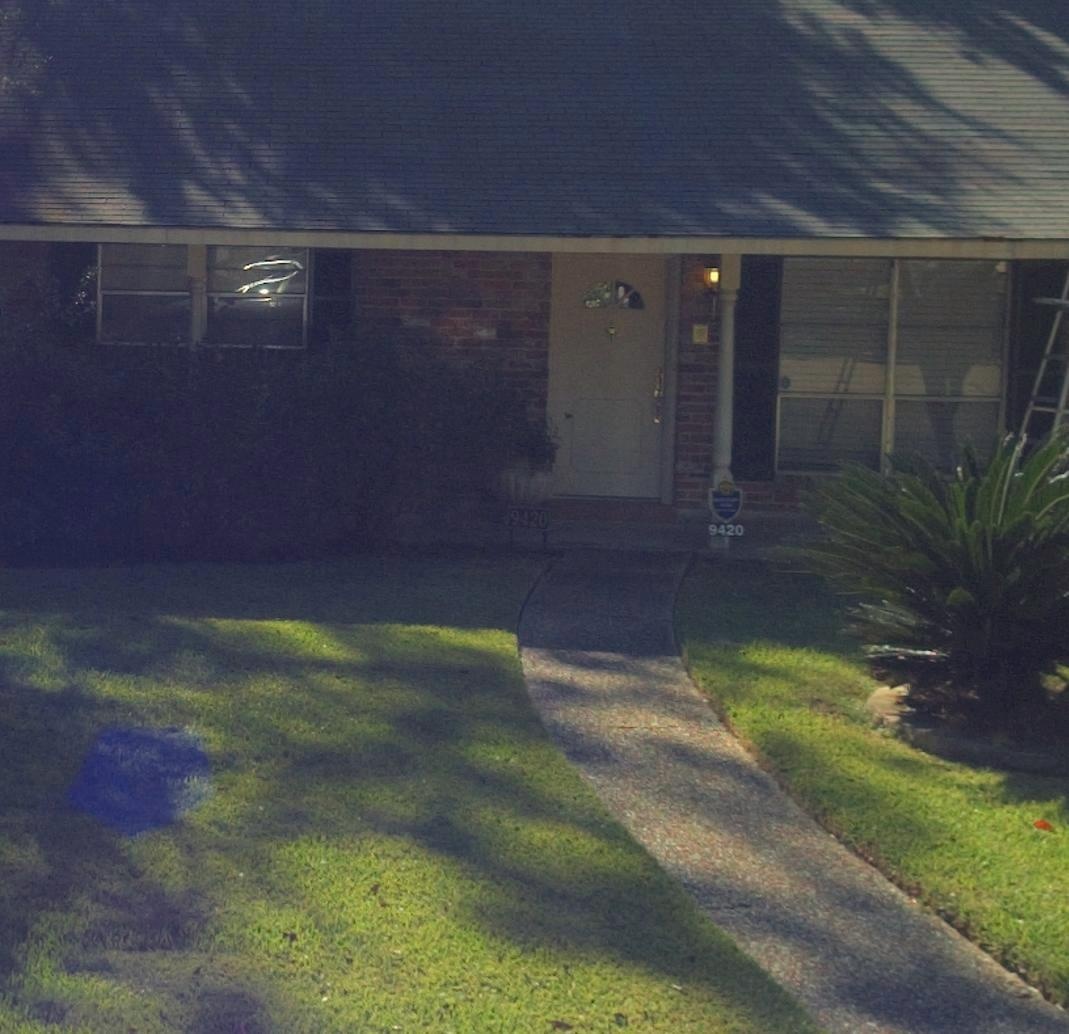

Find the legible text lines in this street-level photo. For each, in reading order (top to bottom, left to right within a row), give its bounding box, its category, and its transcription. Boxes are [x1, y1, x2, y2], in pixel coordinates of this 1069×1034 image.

[511, 509, 549, 529] StreetNumber: 9420
[708, 523, 744, 537] StreetNumber: 9420